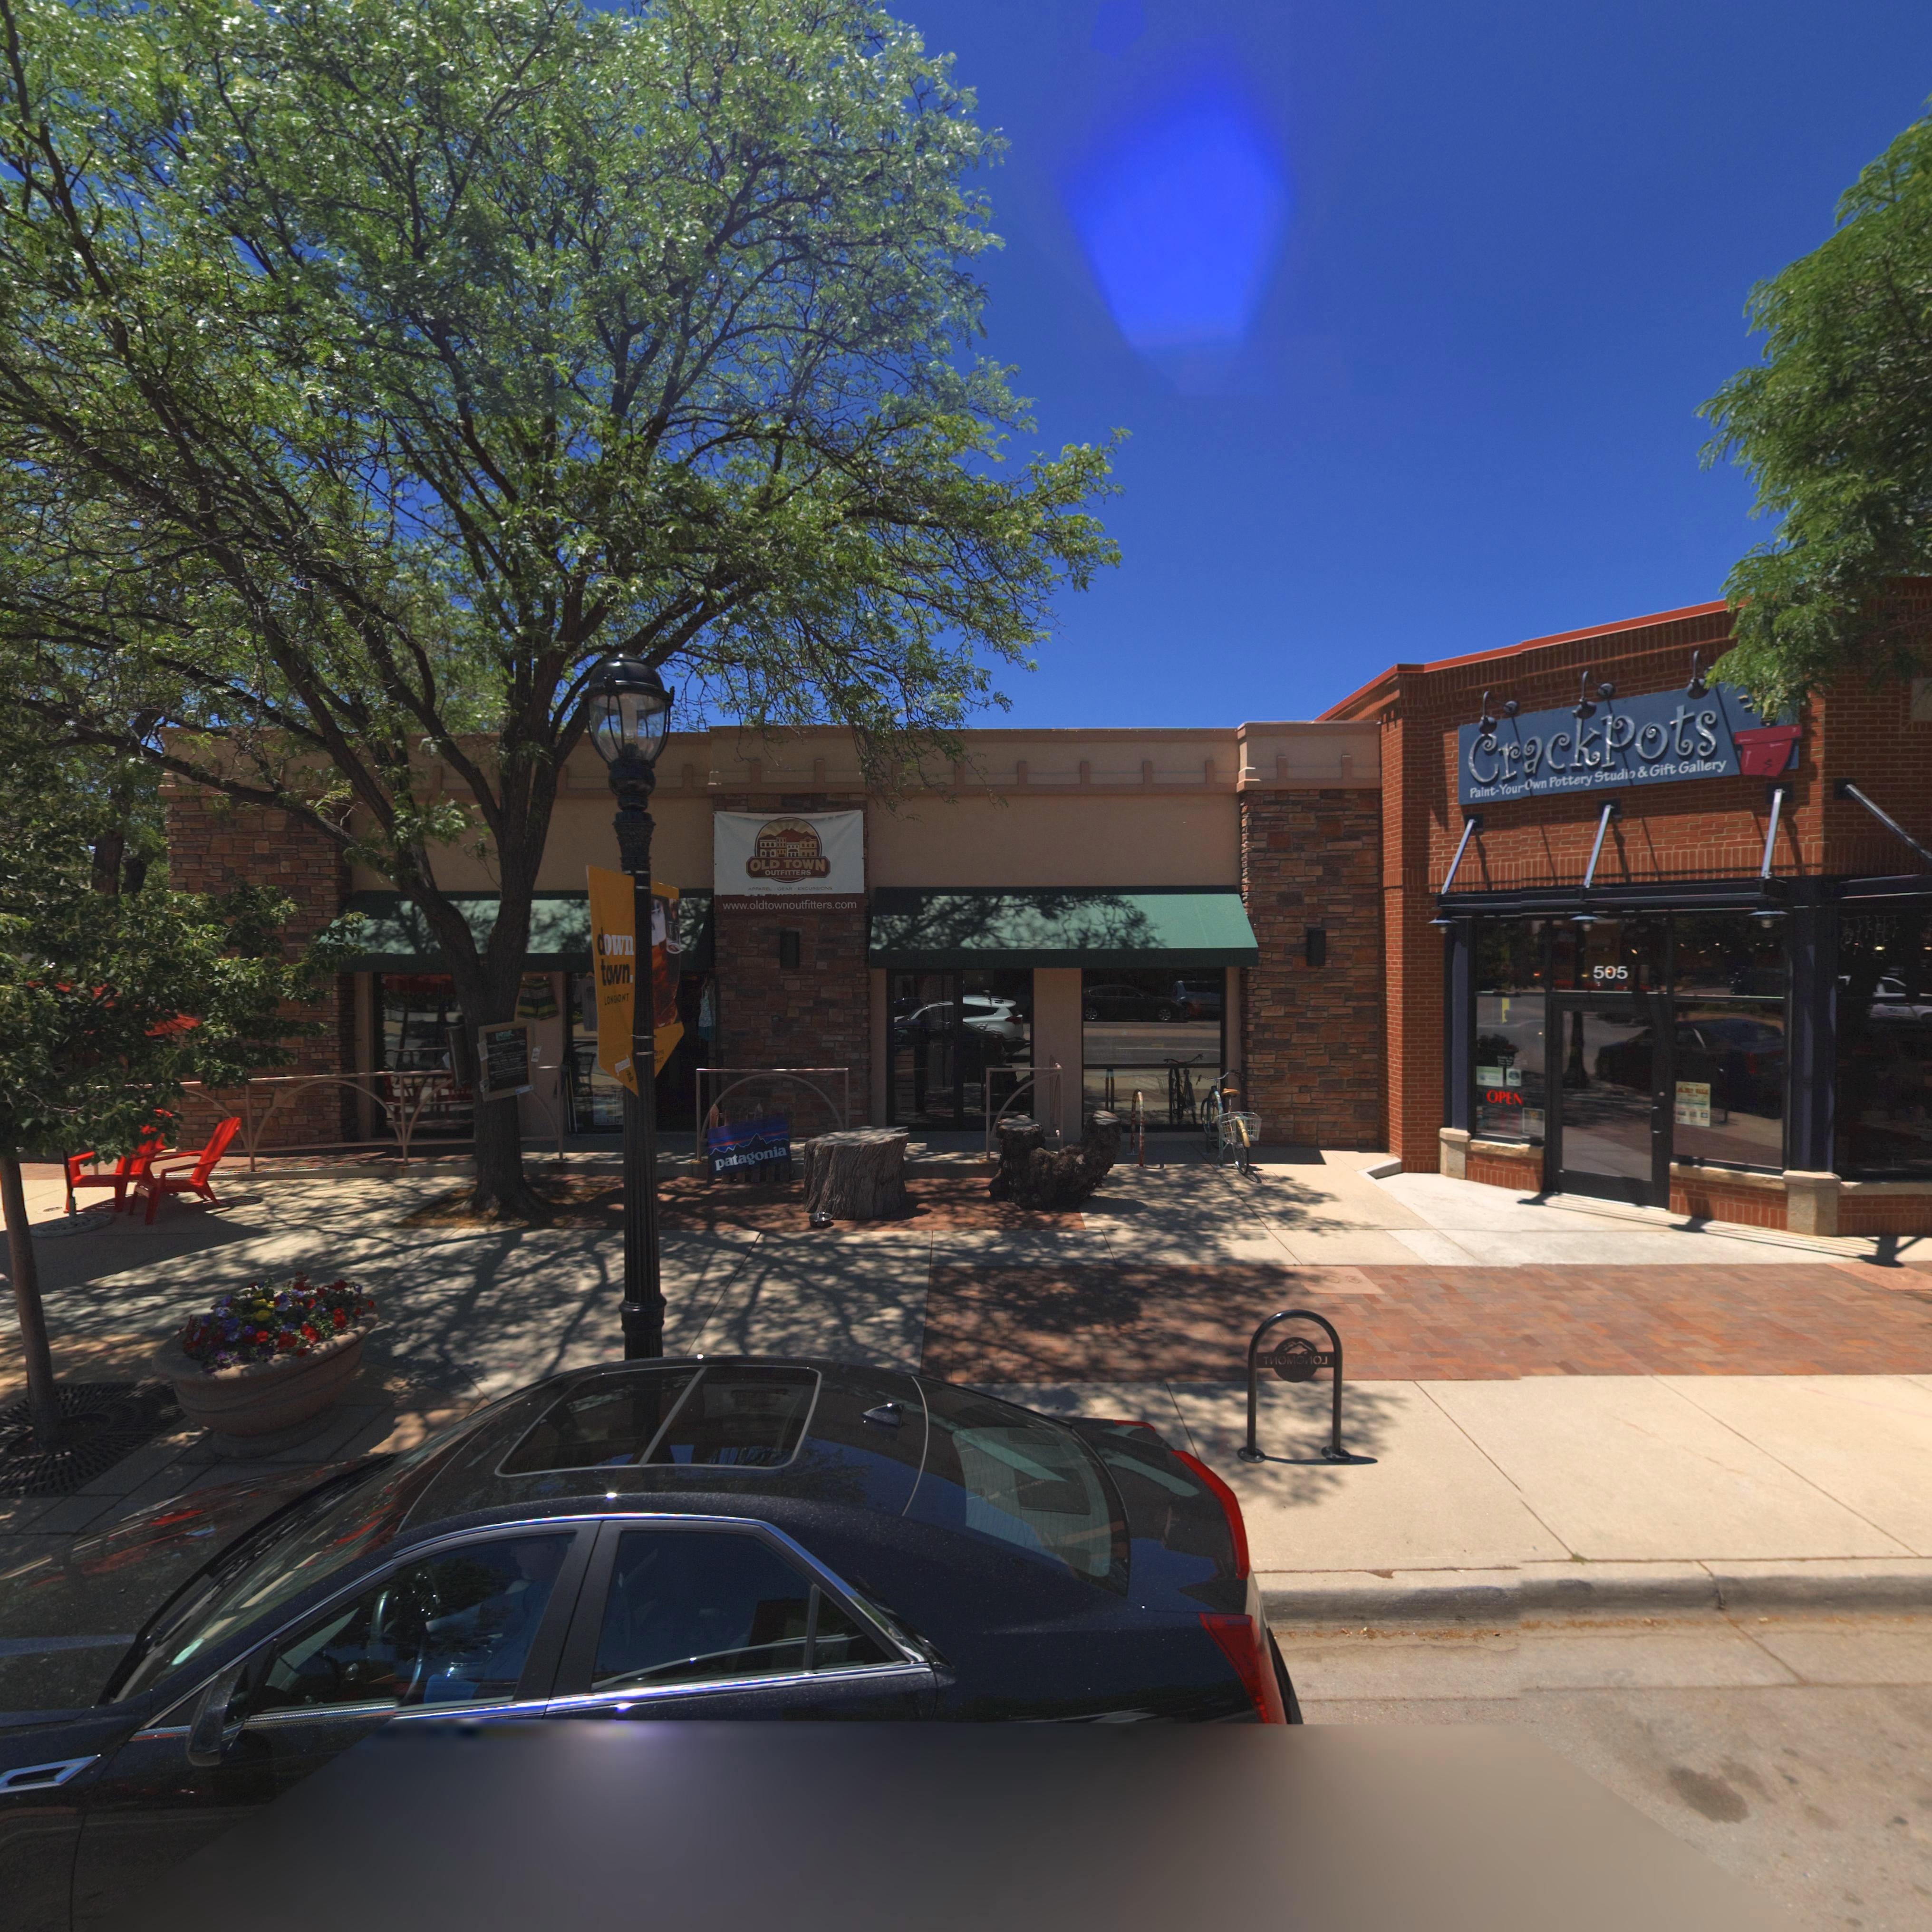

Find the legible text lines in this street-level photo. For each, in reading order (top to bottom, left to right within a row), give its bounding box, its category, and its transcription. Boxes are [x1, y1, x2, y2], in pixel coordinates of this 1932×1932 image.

[1466, 703, 1718, 785] BusinessName: Crackpots
[749, 858, 825, 872] BusinessName: OLD TOWN
[764, 869, 811, 876] BusinessName: OUTFITTERS
[1592, 965, 1629, 980] StreetNumber: 505